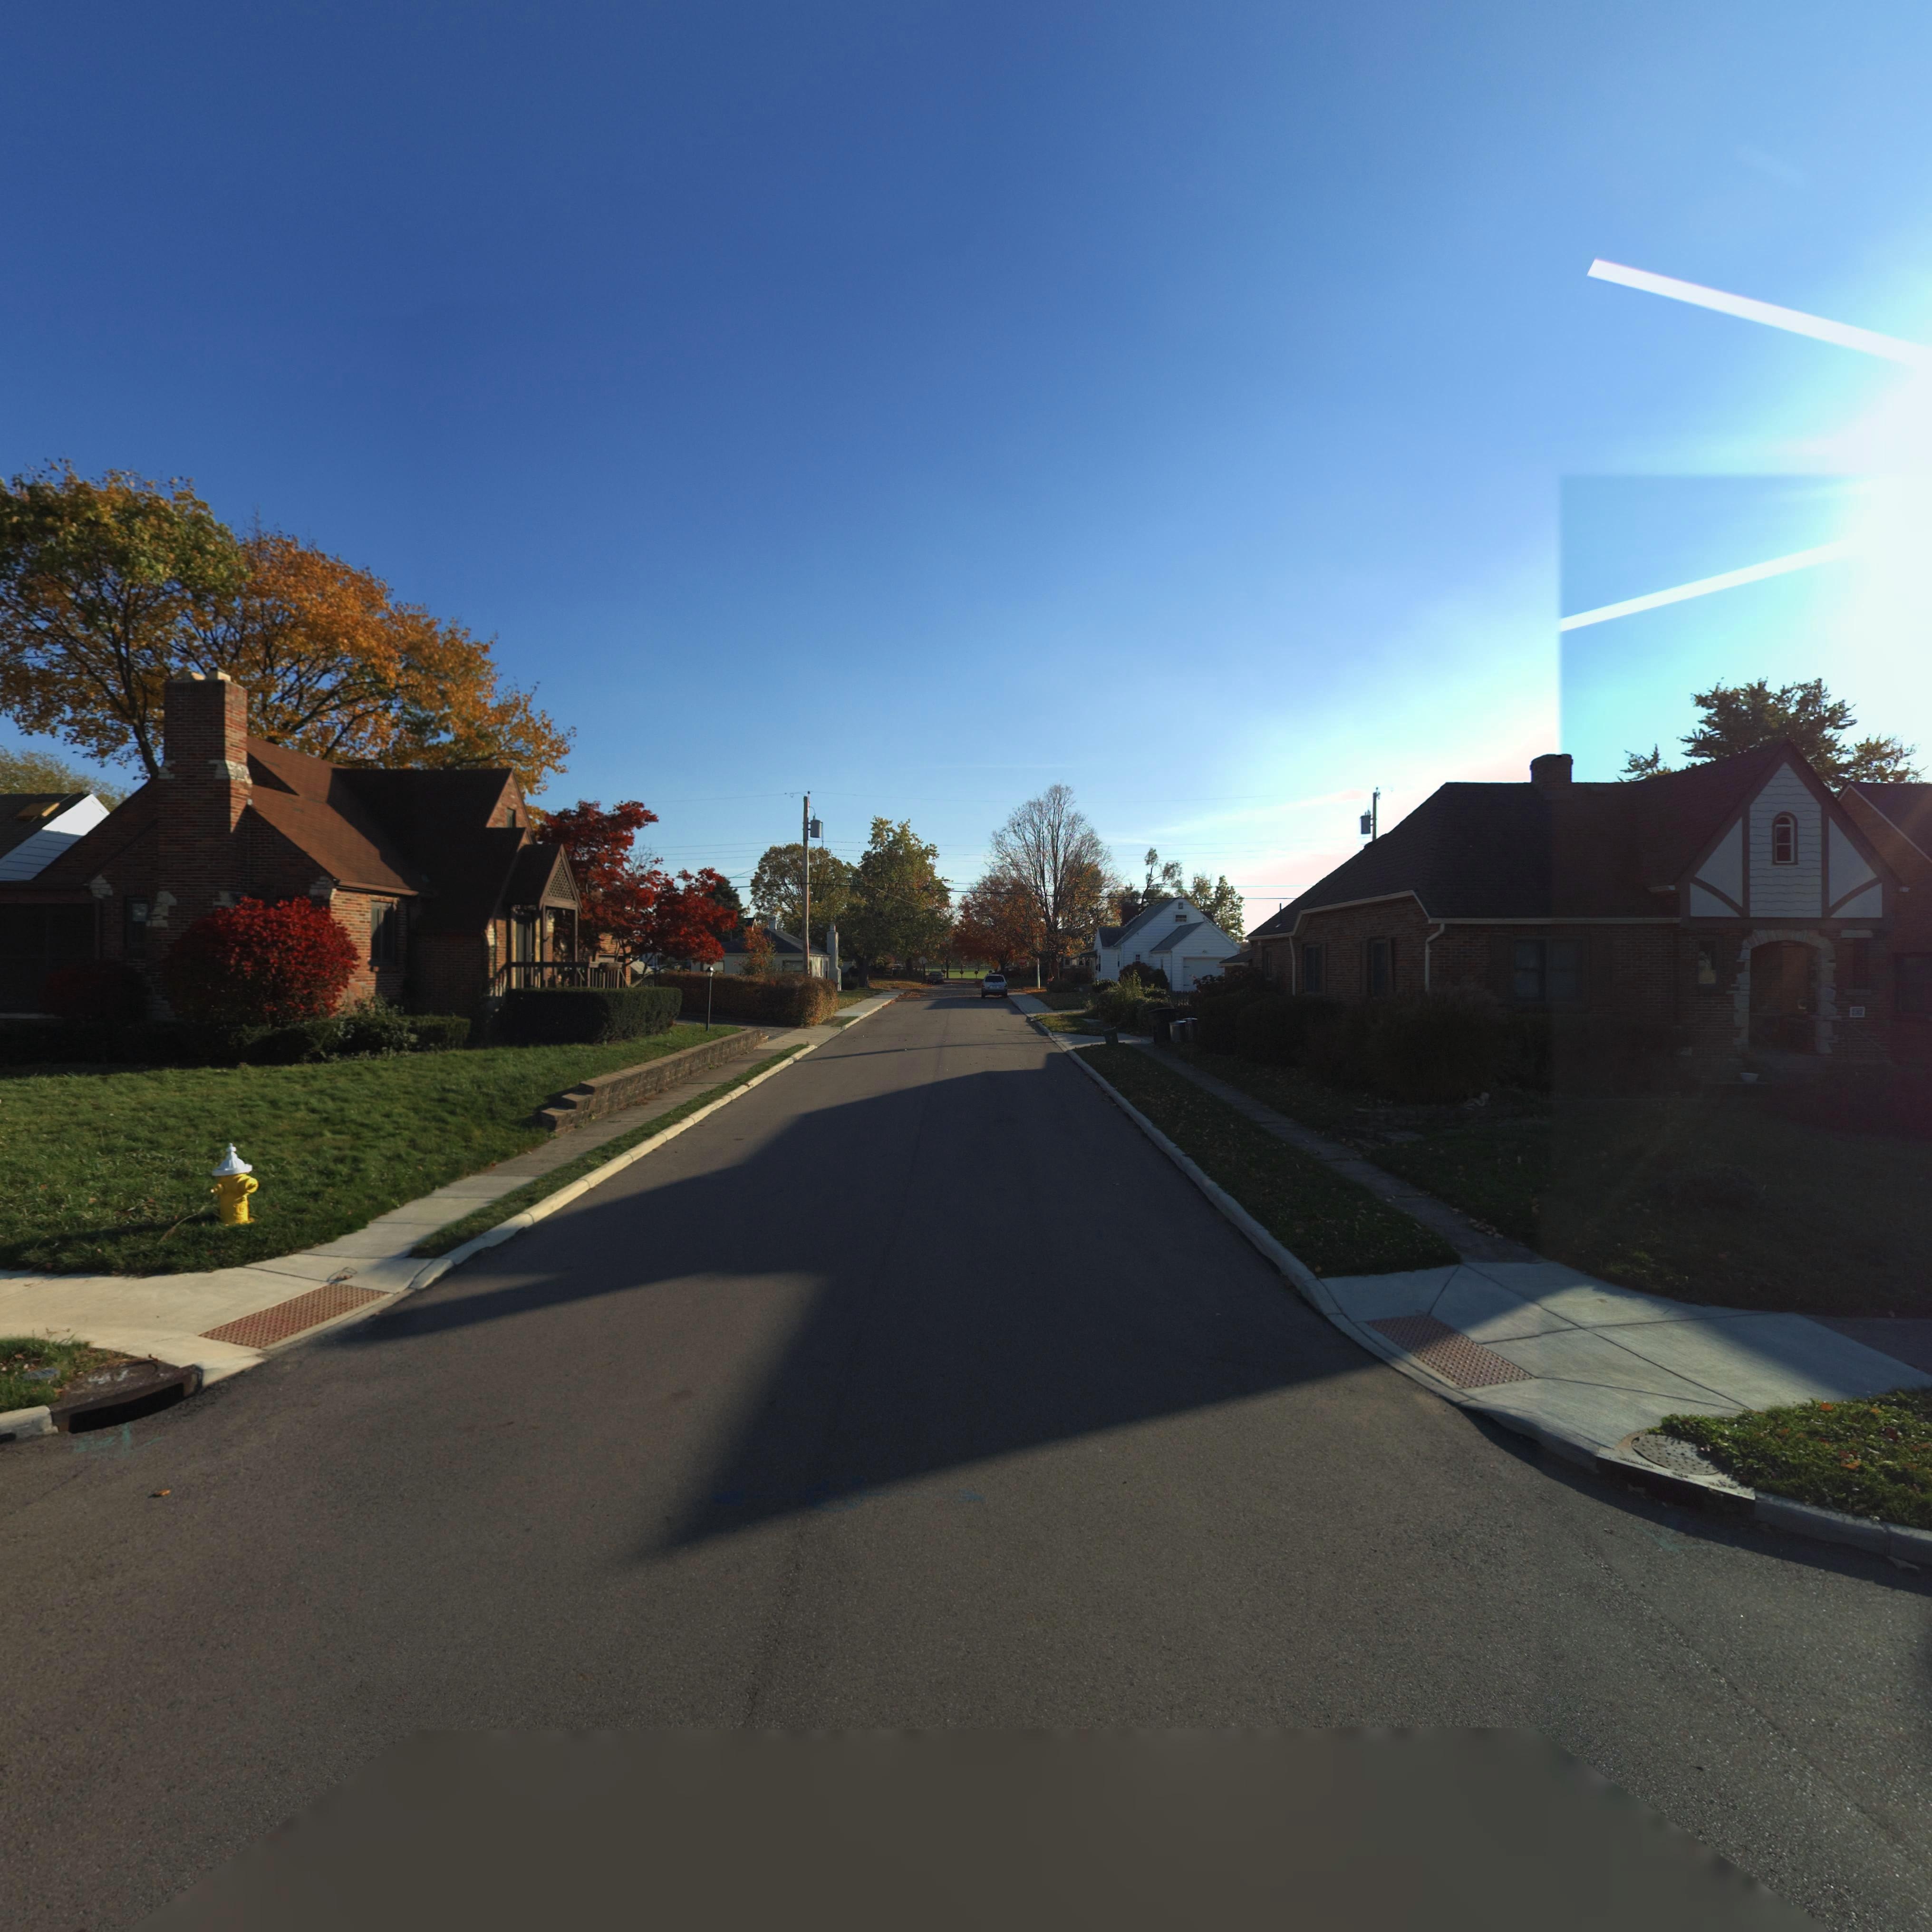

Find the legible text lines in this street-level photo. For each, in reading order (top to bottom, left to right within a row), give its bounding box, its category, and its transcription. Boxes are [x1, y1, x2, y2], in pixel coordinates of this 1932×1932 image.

[1850, 1006, 1864, 1016] StreetNumber: *3*